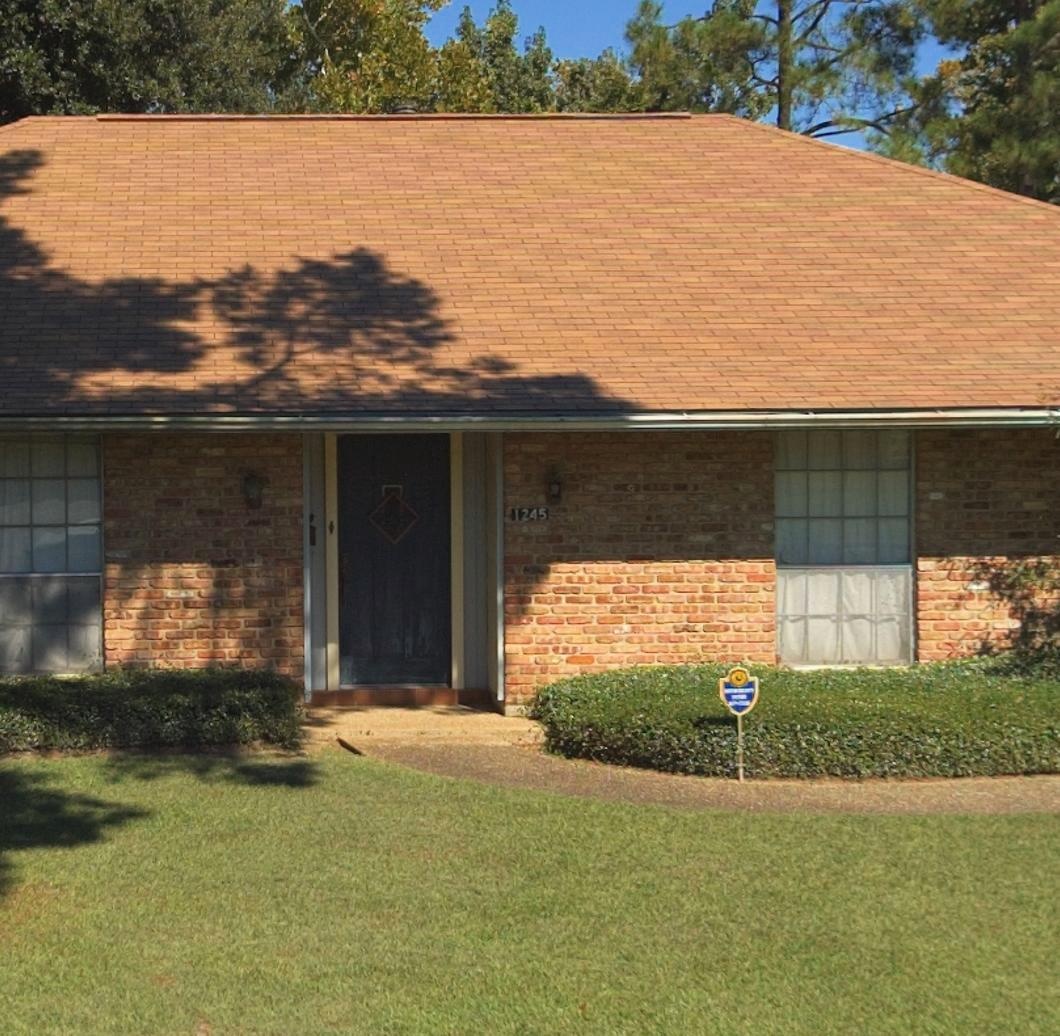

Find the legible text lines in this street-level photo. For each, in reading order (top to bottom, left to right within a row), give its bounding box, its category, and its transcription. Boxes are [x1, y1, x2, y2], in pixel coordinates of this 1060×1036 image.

[511, 507, 549, 523] StreetNumber: 1245